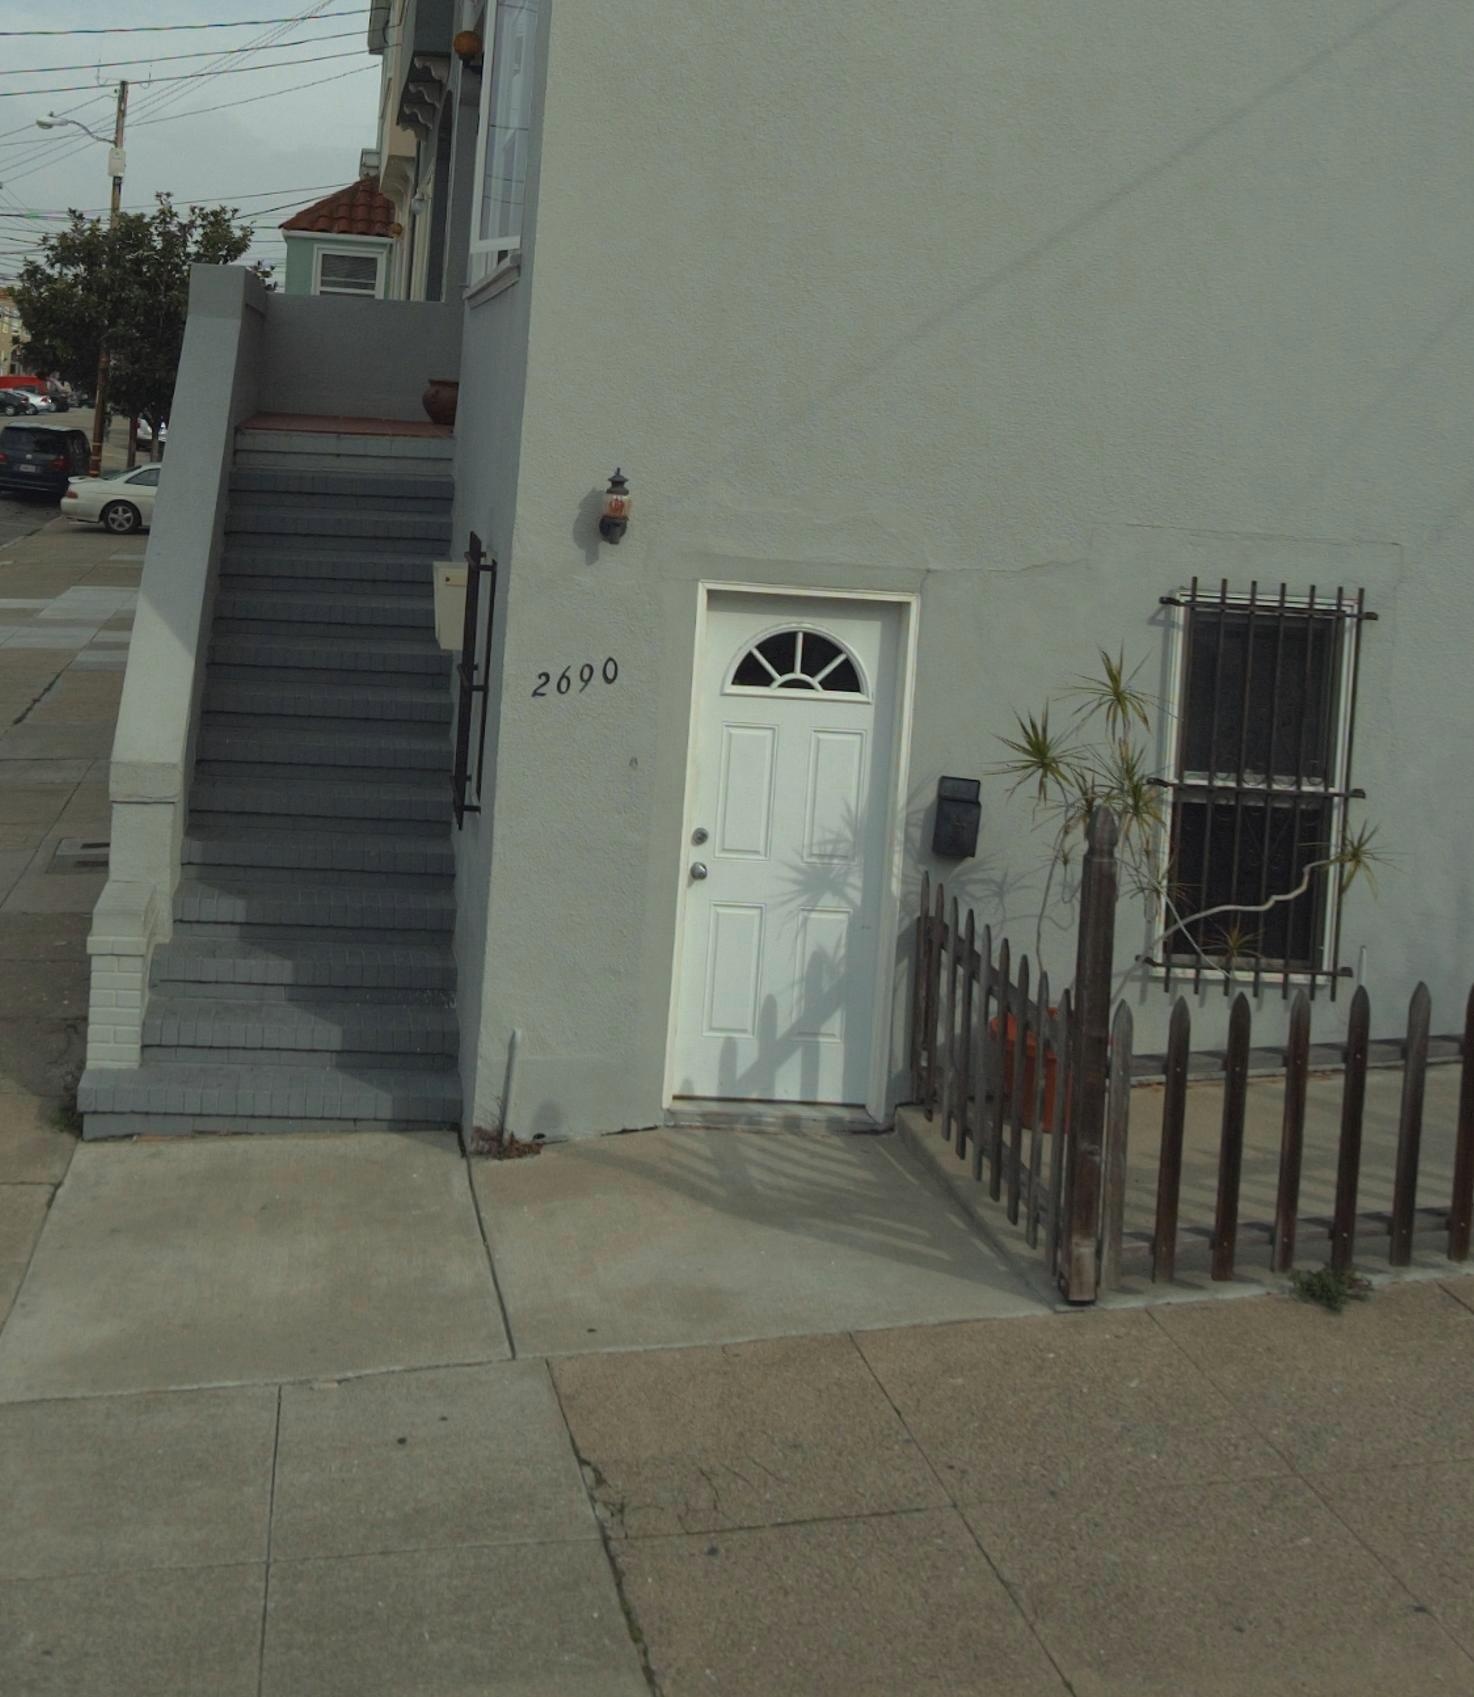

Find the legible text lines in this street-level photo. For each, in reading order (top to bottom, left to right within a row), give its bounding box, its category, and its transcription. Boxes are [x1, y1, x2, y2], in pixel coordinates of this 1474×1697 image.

[528, 653, 621, 700] StreetNumber: 2690